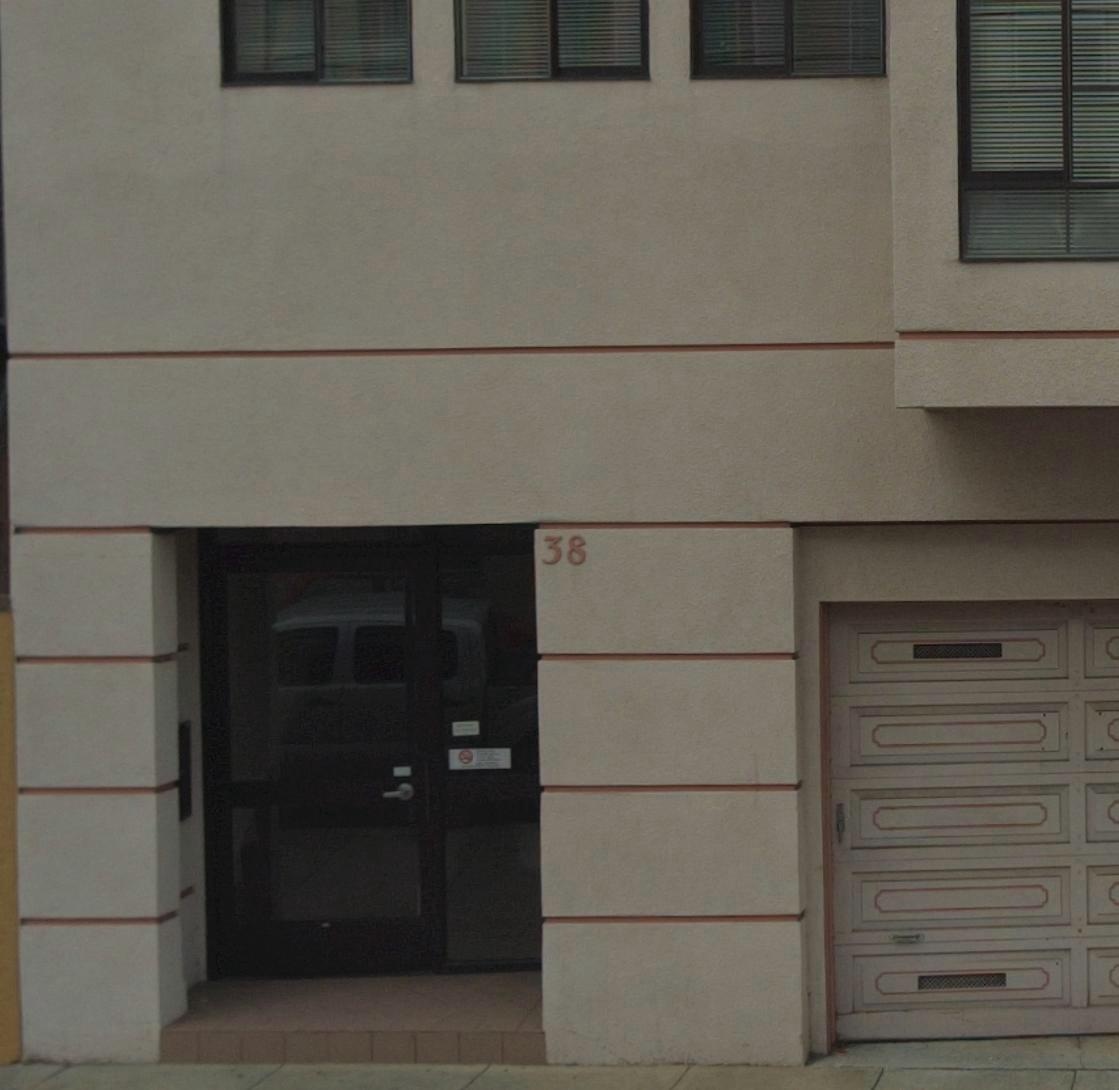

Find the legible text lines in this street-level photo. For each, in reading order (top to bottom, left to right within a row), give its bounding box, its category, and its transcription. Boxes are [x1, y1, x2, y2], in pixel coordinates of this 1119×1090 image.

[539, 533, 588, 567] StreetNumber: 38